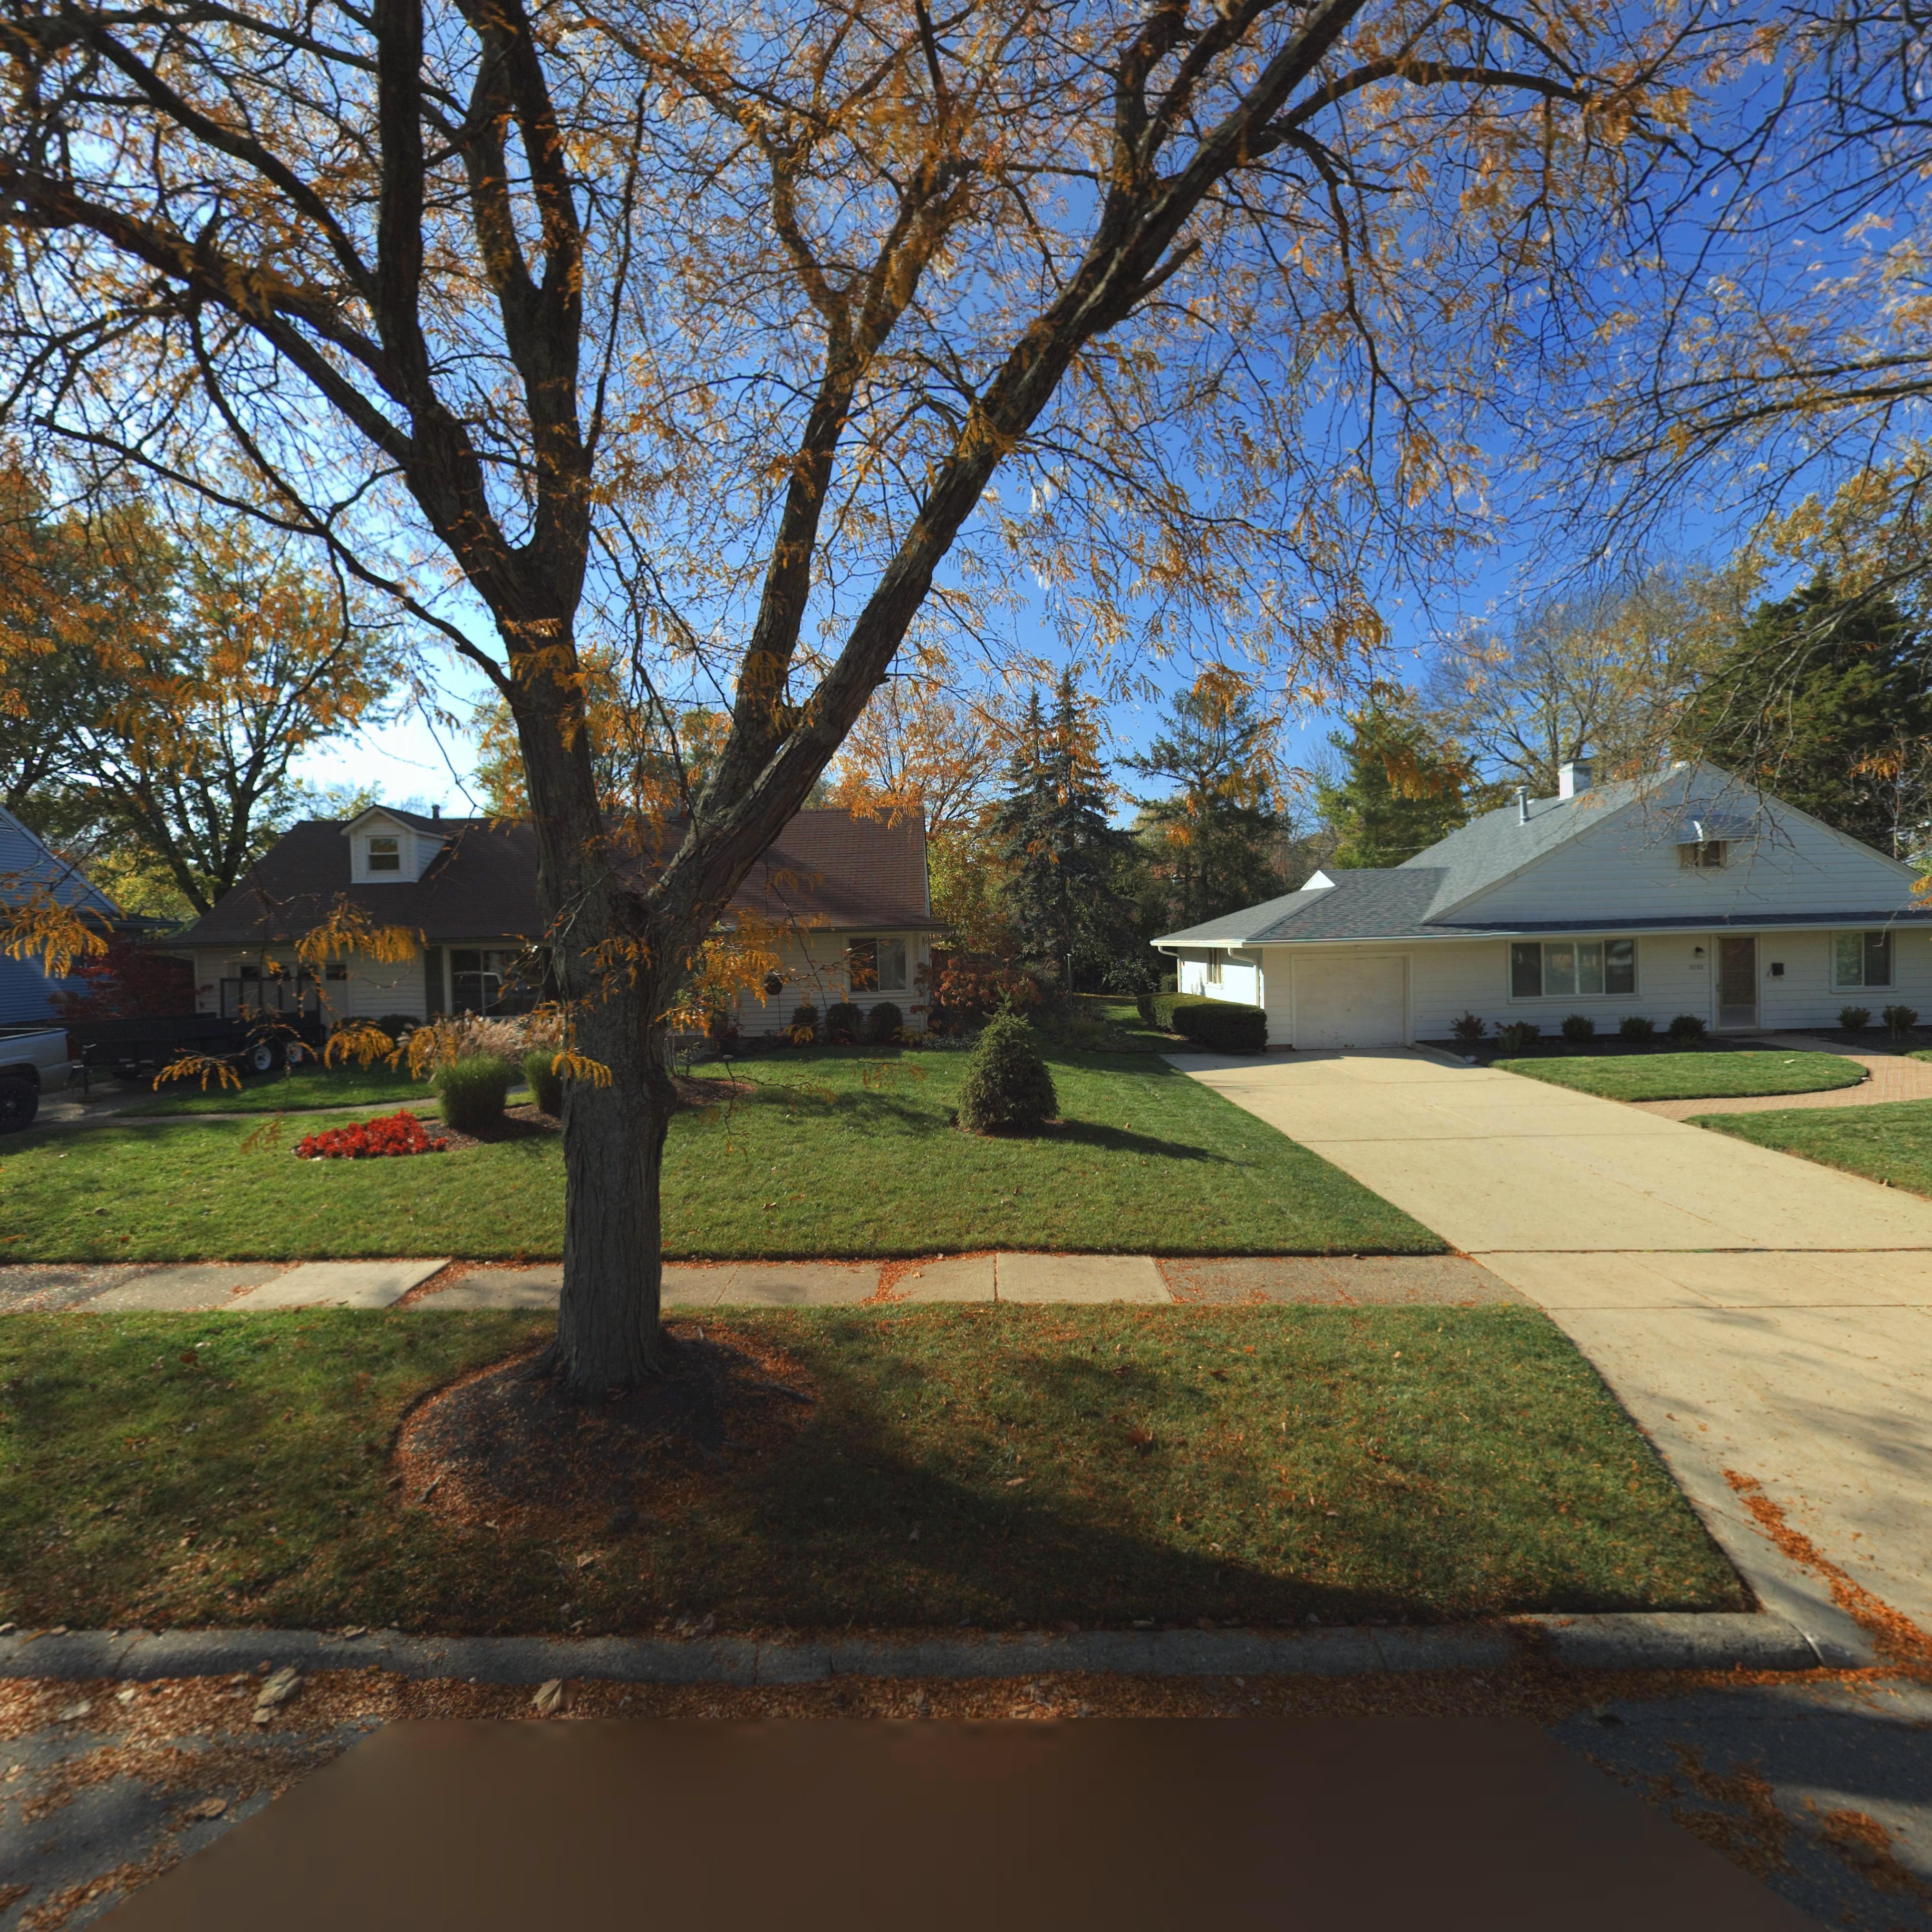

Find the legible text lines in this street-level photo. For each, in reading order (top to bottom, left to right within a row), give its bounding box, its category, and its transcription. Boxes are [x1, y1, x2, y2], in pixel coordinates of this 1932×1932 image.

[1689, 964, 1703, 970] StreetNumber: 3707